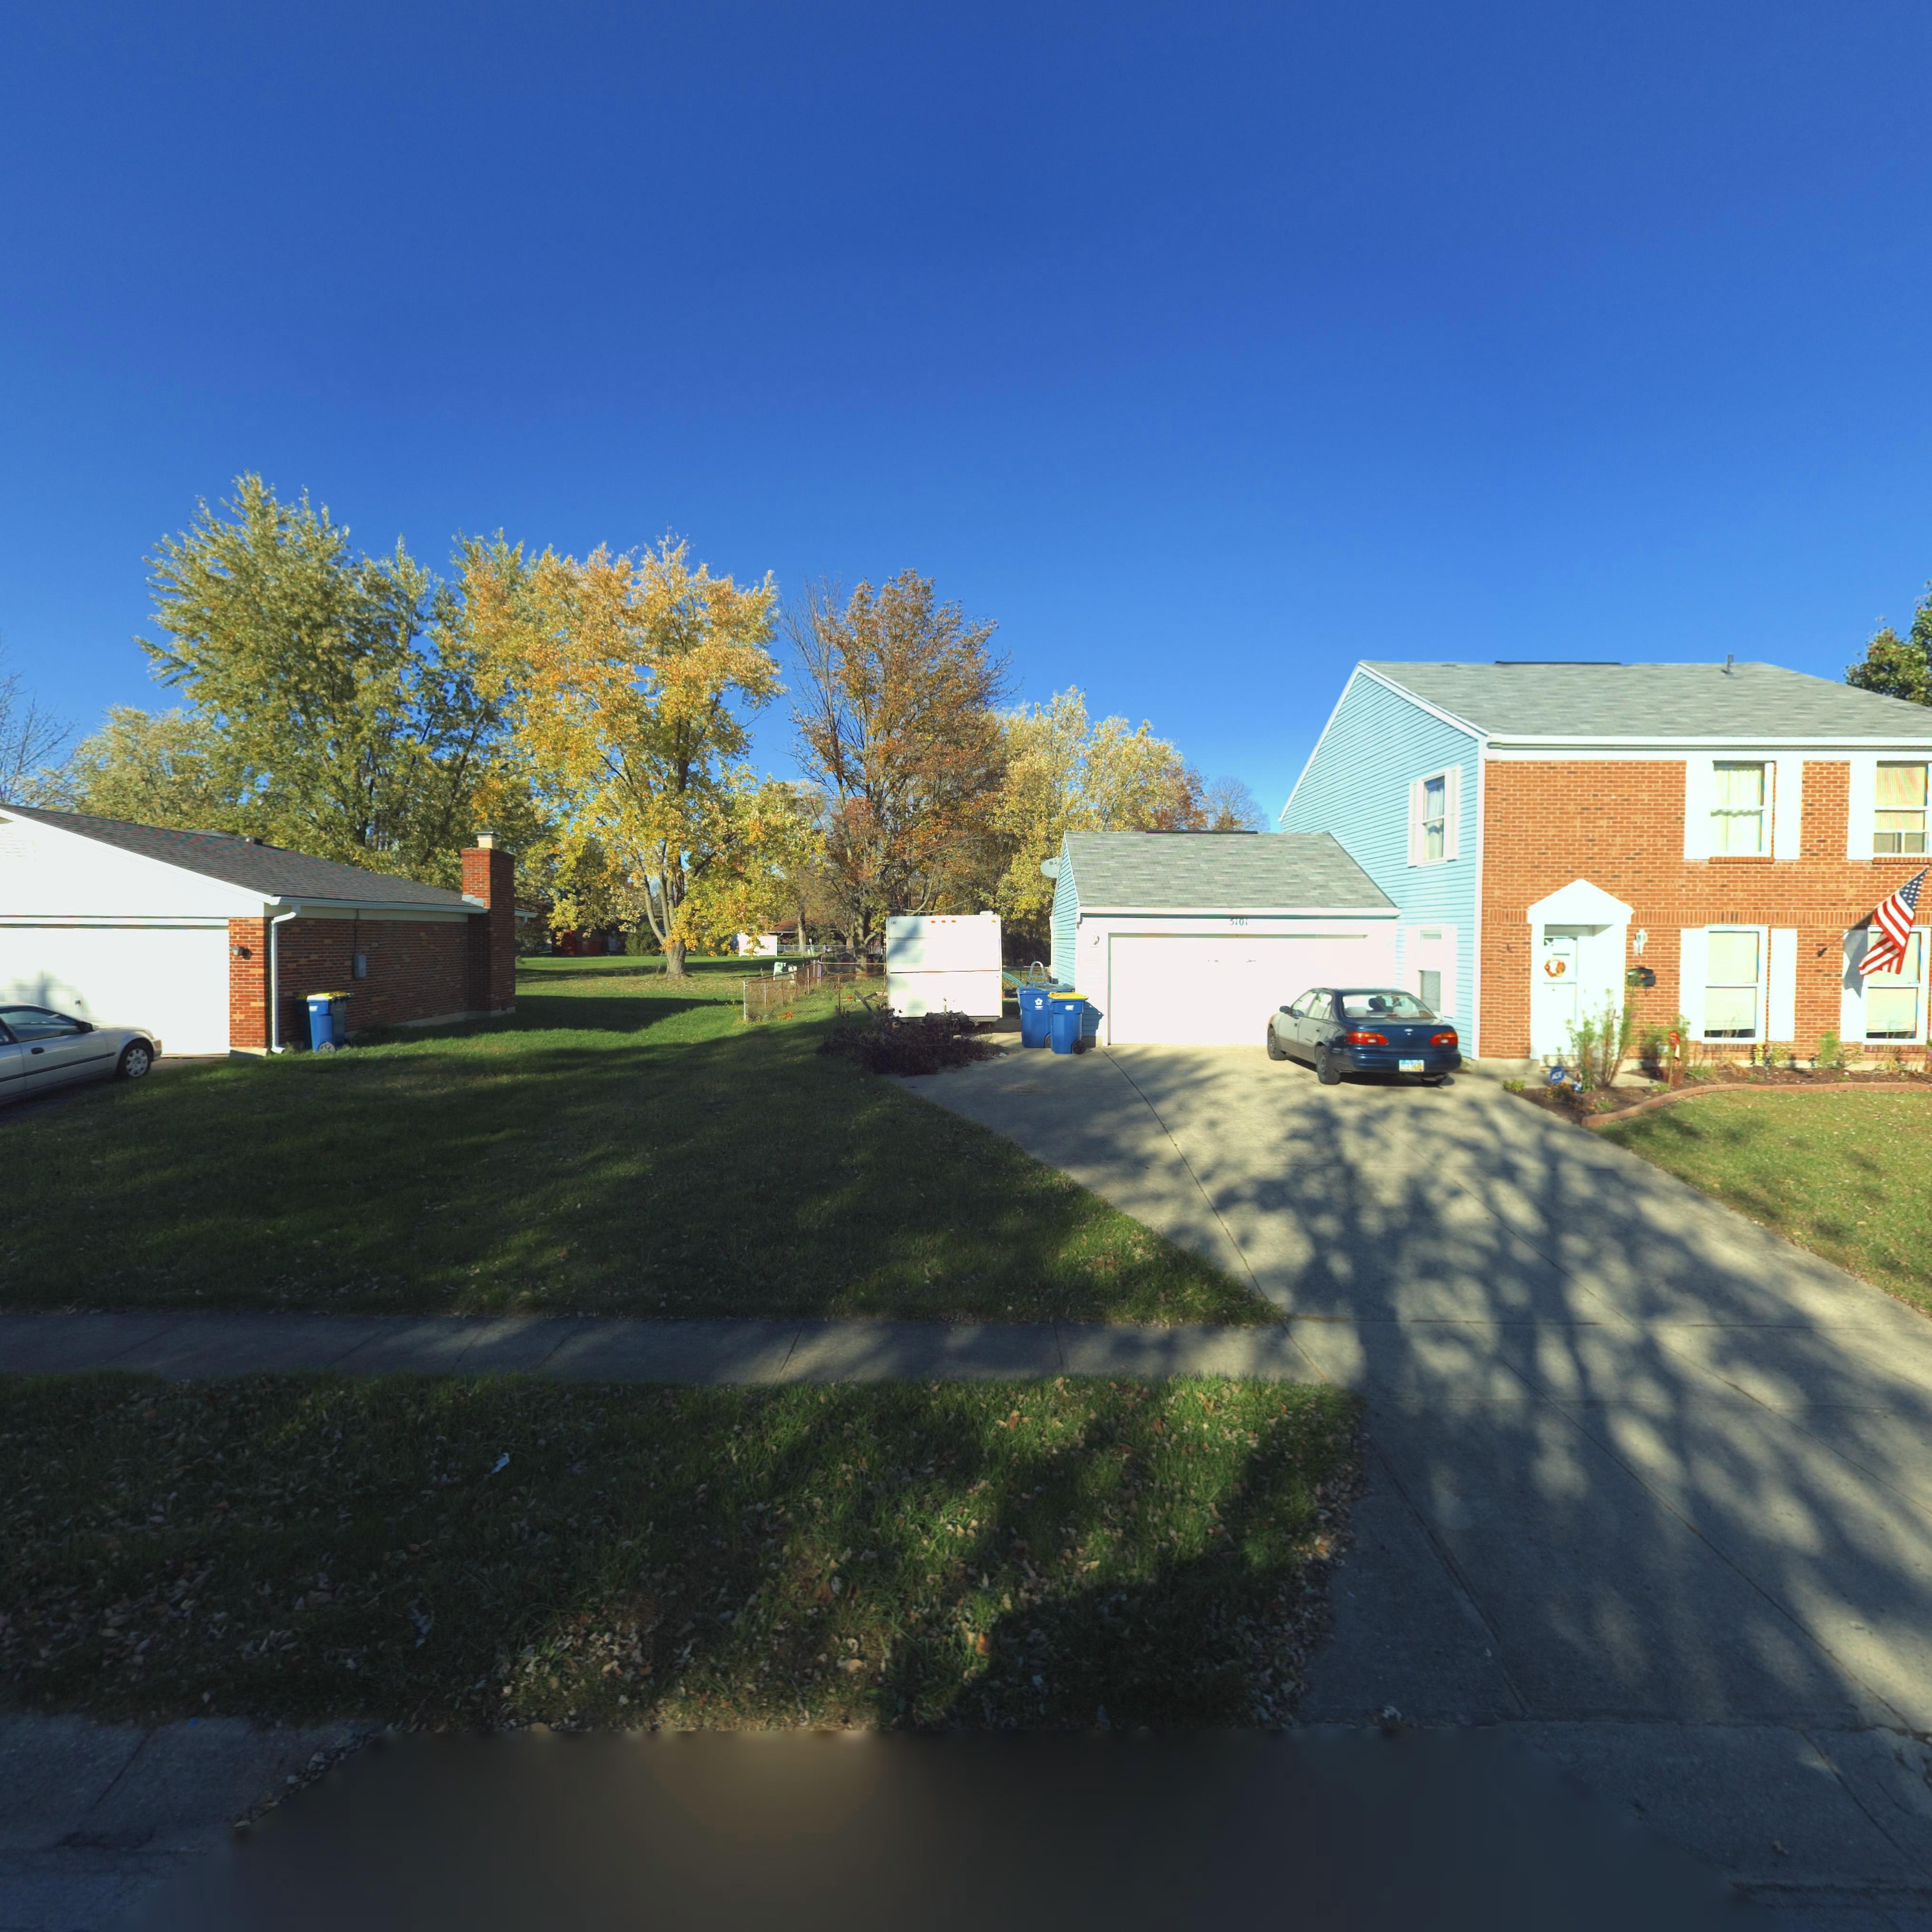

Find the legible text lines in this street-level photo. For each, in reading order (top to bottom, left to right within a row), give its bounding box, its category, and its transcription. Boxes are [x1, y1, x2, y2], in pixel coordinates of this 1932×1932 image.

[1229, 917, 1248, 926] StreetNumber: 5101